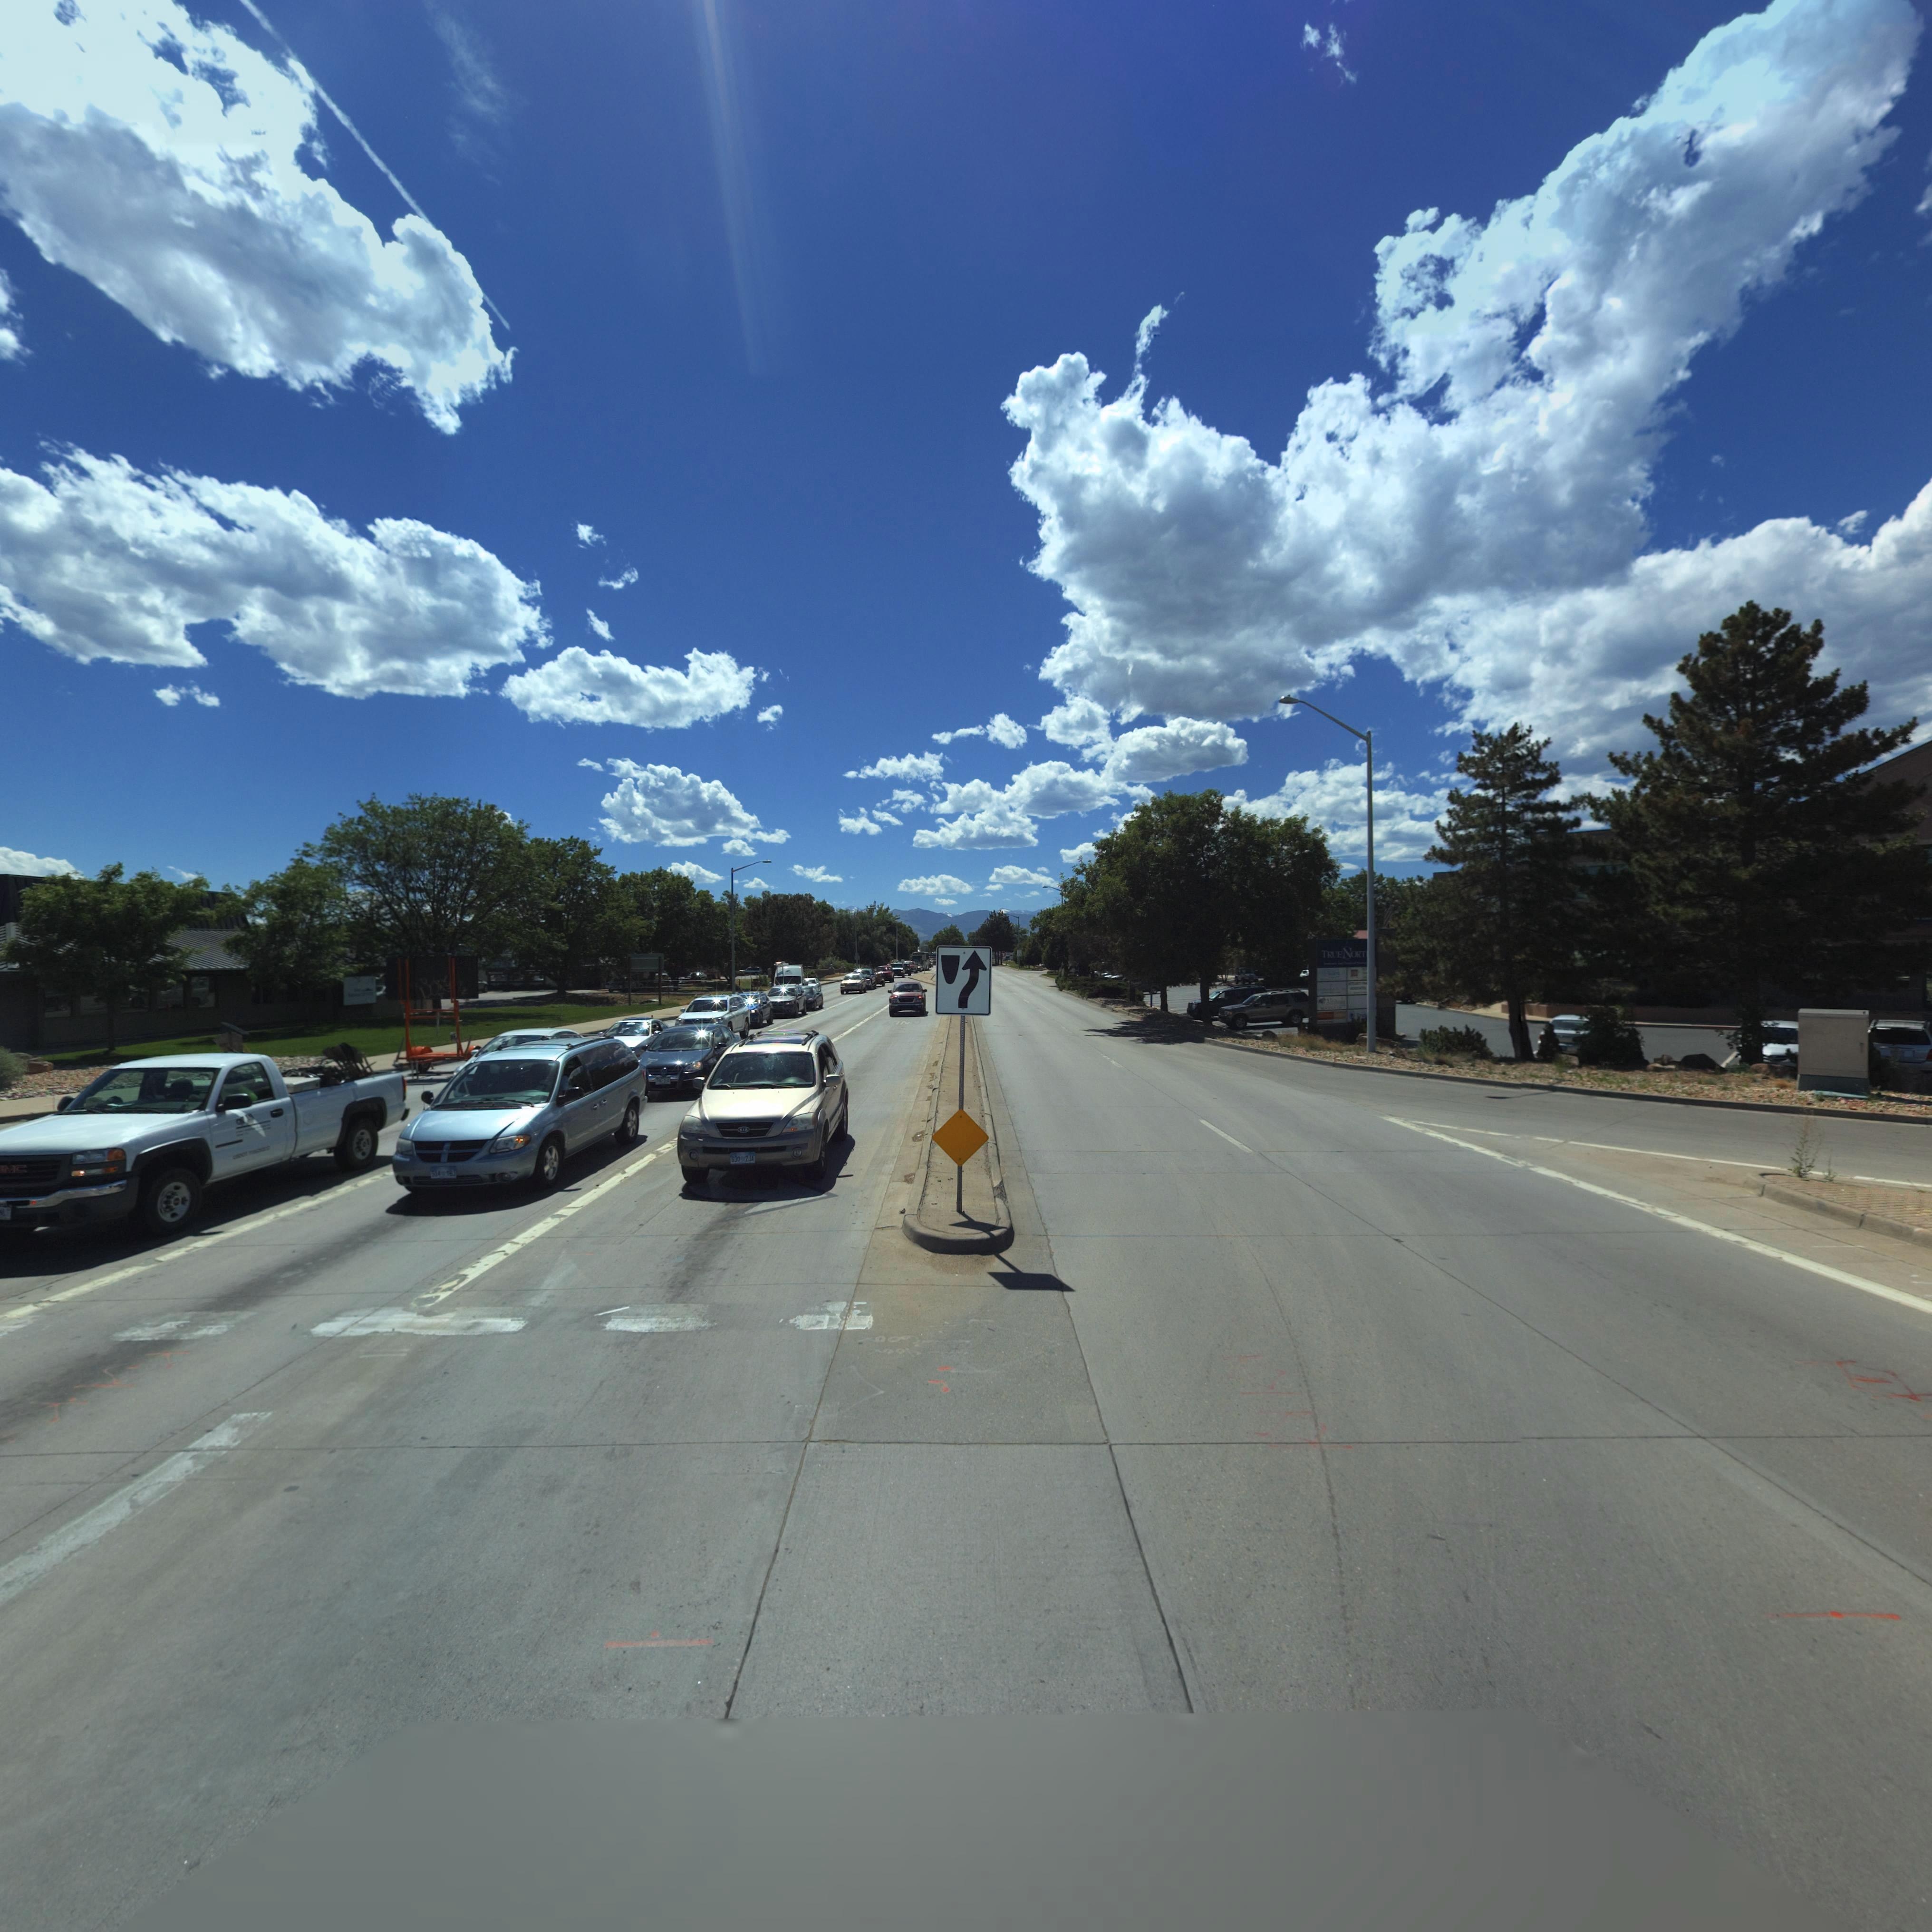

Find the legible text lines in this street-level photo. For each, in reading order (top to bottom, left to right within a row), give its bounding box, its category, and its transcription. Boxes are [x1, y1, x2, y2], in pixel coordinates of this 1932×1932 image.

[1320, 947, 1366, 958] BusinessName: TRUENORT
[1325, 996, 1332, 1005] StreetNumber: Al